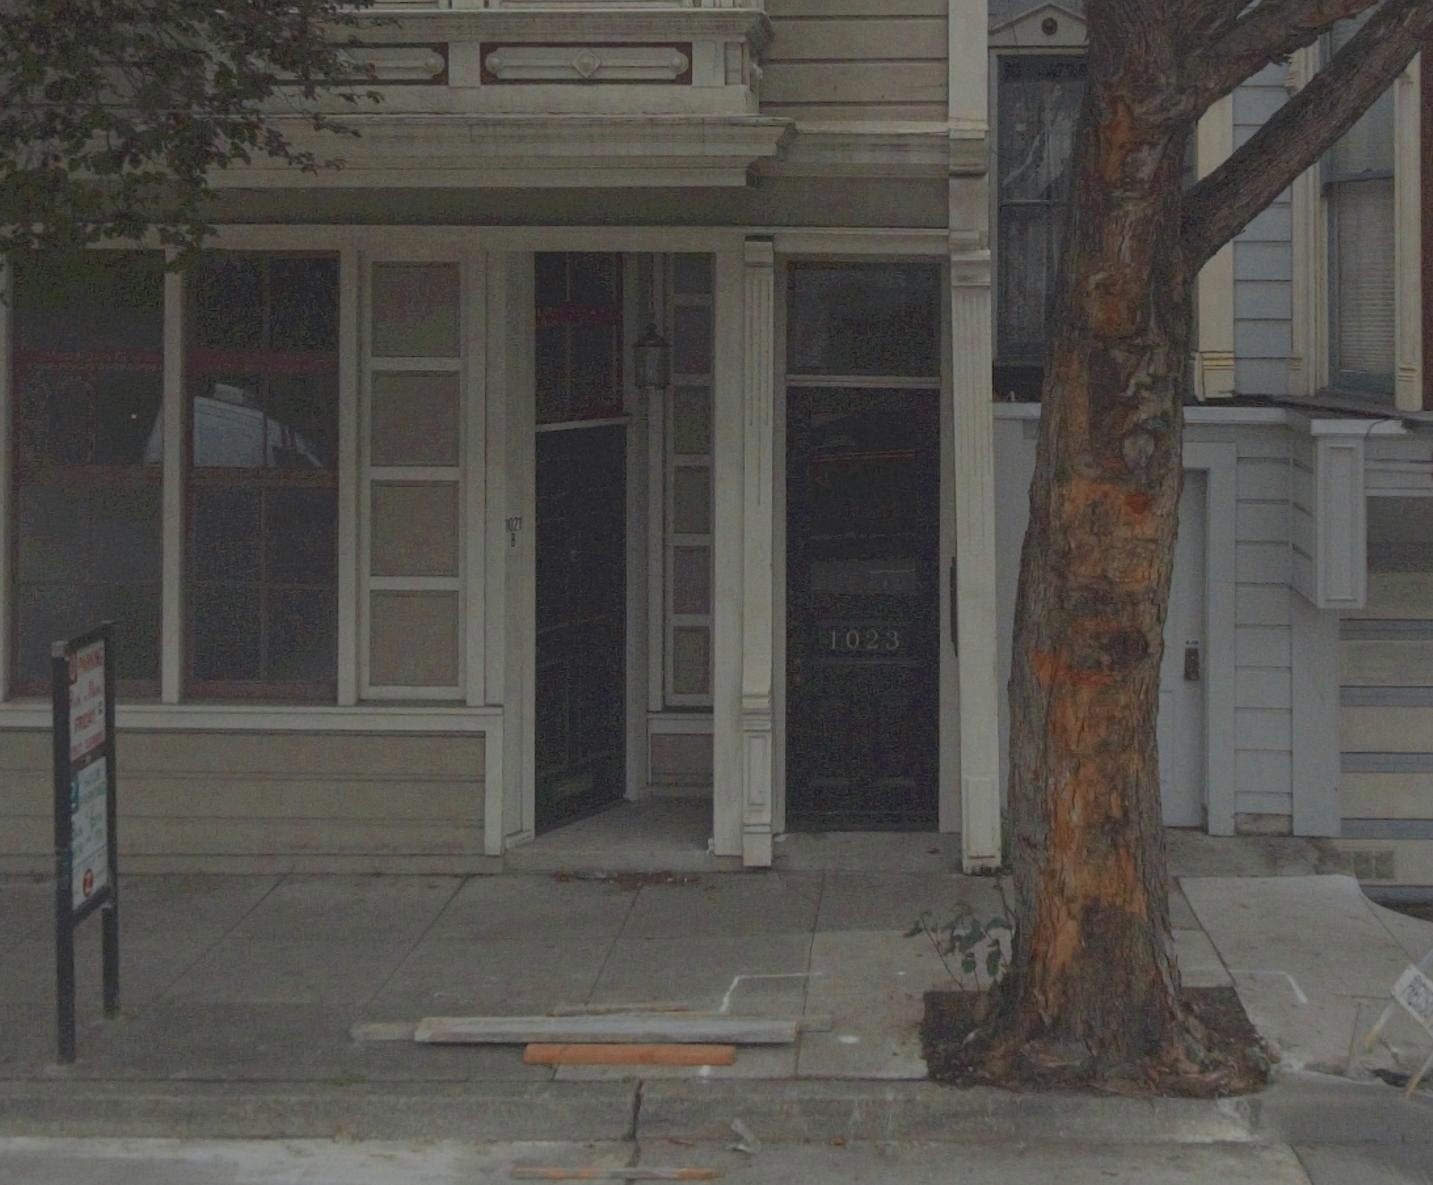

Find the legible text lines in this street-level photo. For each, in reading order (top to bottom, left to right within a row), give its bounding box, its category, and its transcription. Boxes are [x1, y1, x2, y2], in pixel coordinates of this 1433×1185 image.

[504, 515, 524, 533] StreetNumber: 1021
[509, 531, 517, 549] StreetNumber: B
[828, 628, 900, 651] StreetNumber: 1023